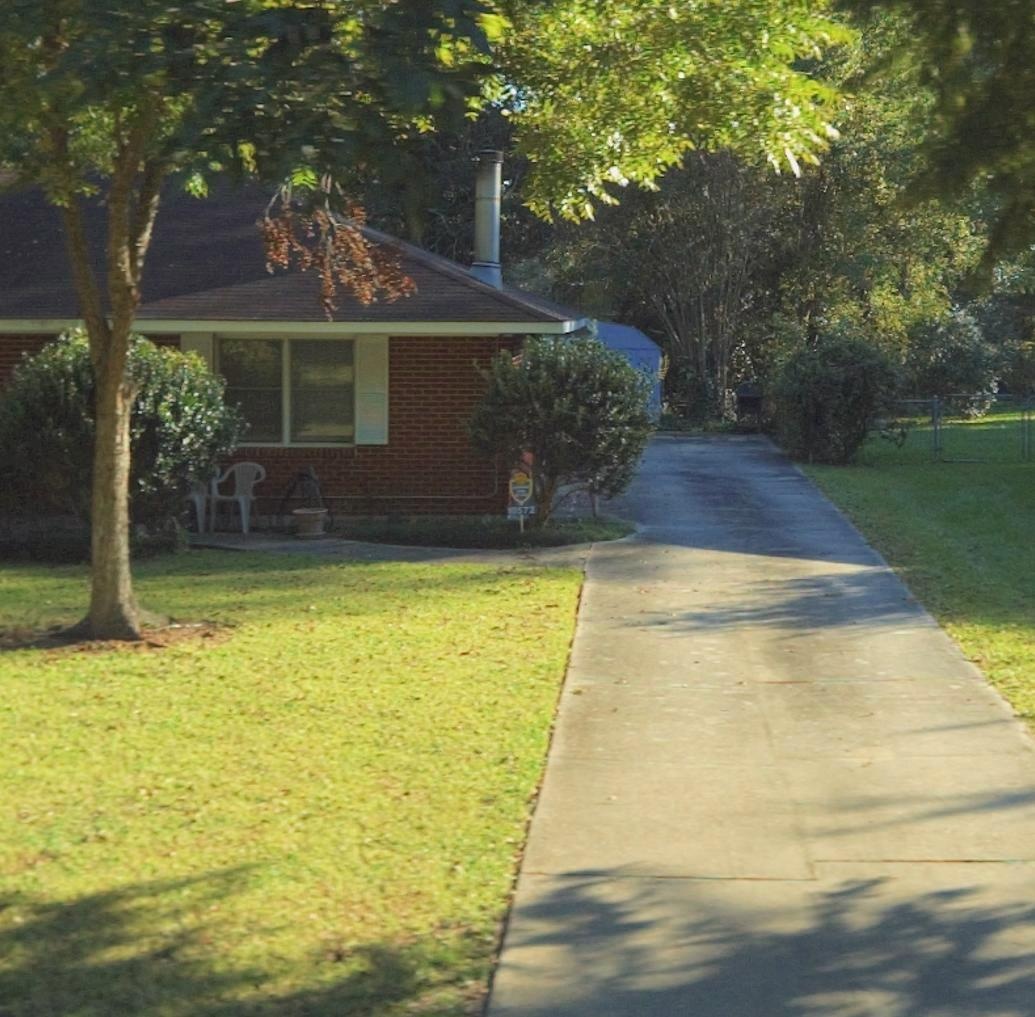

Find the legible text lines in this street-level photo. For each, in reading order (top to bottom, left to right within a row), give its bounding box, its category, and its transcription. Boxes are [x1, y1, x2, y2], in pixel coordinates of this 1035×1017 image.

[507, 505, 537, 516] StreetNumber: 10572